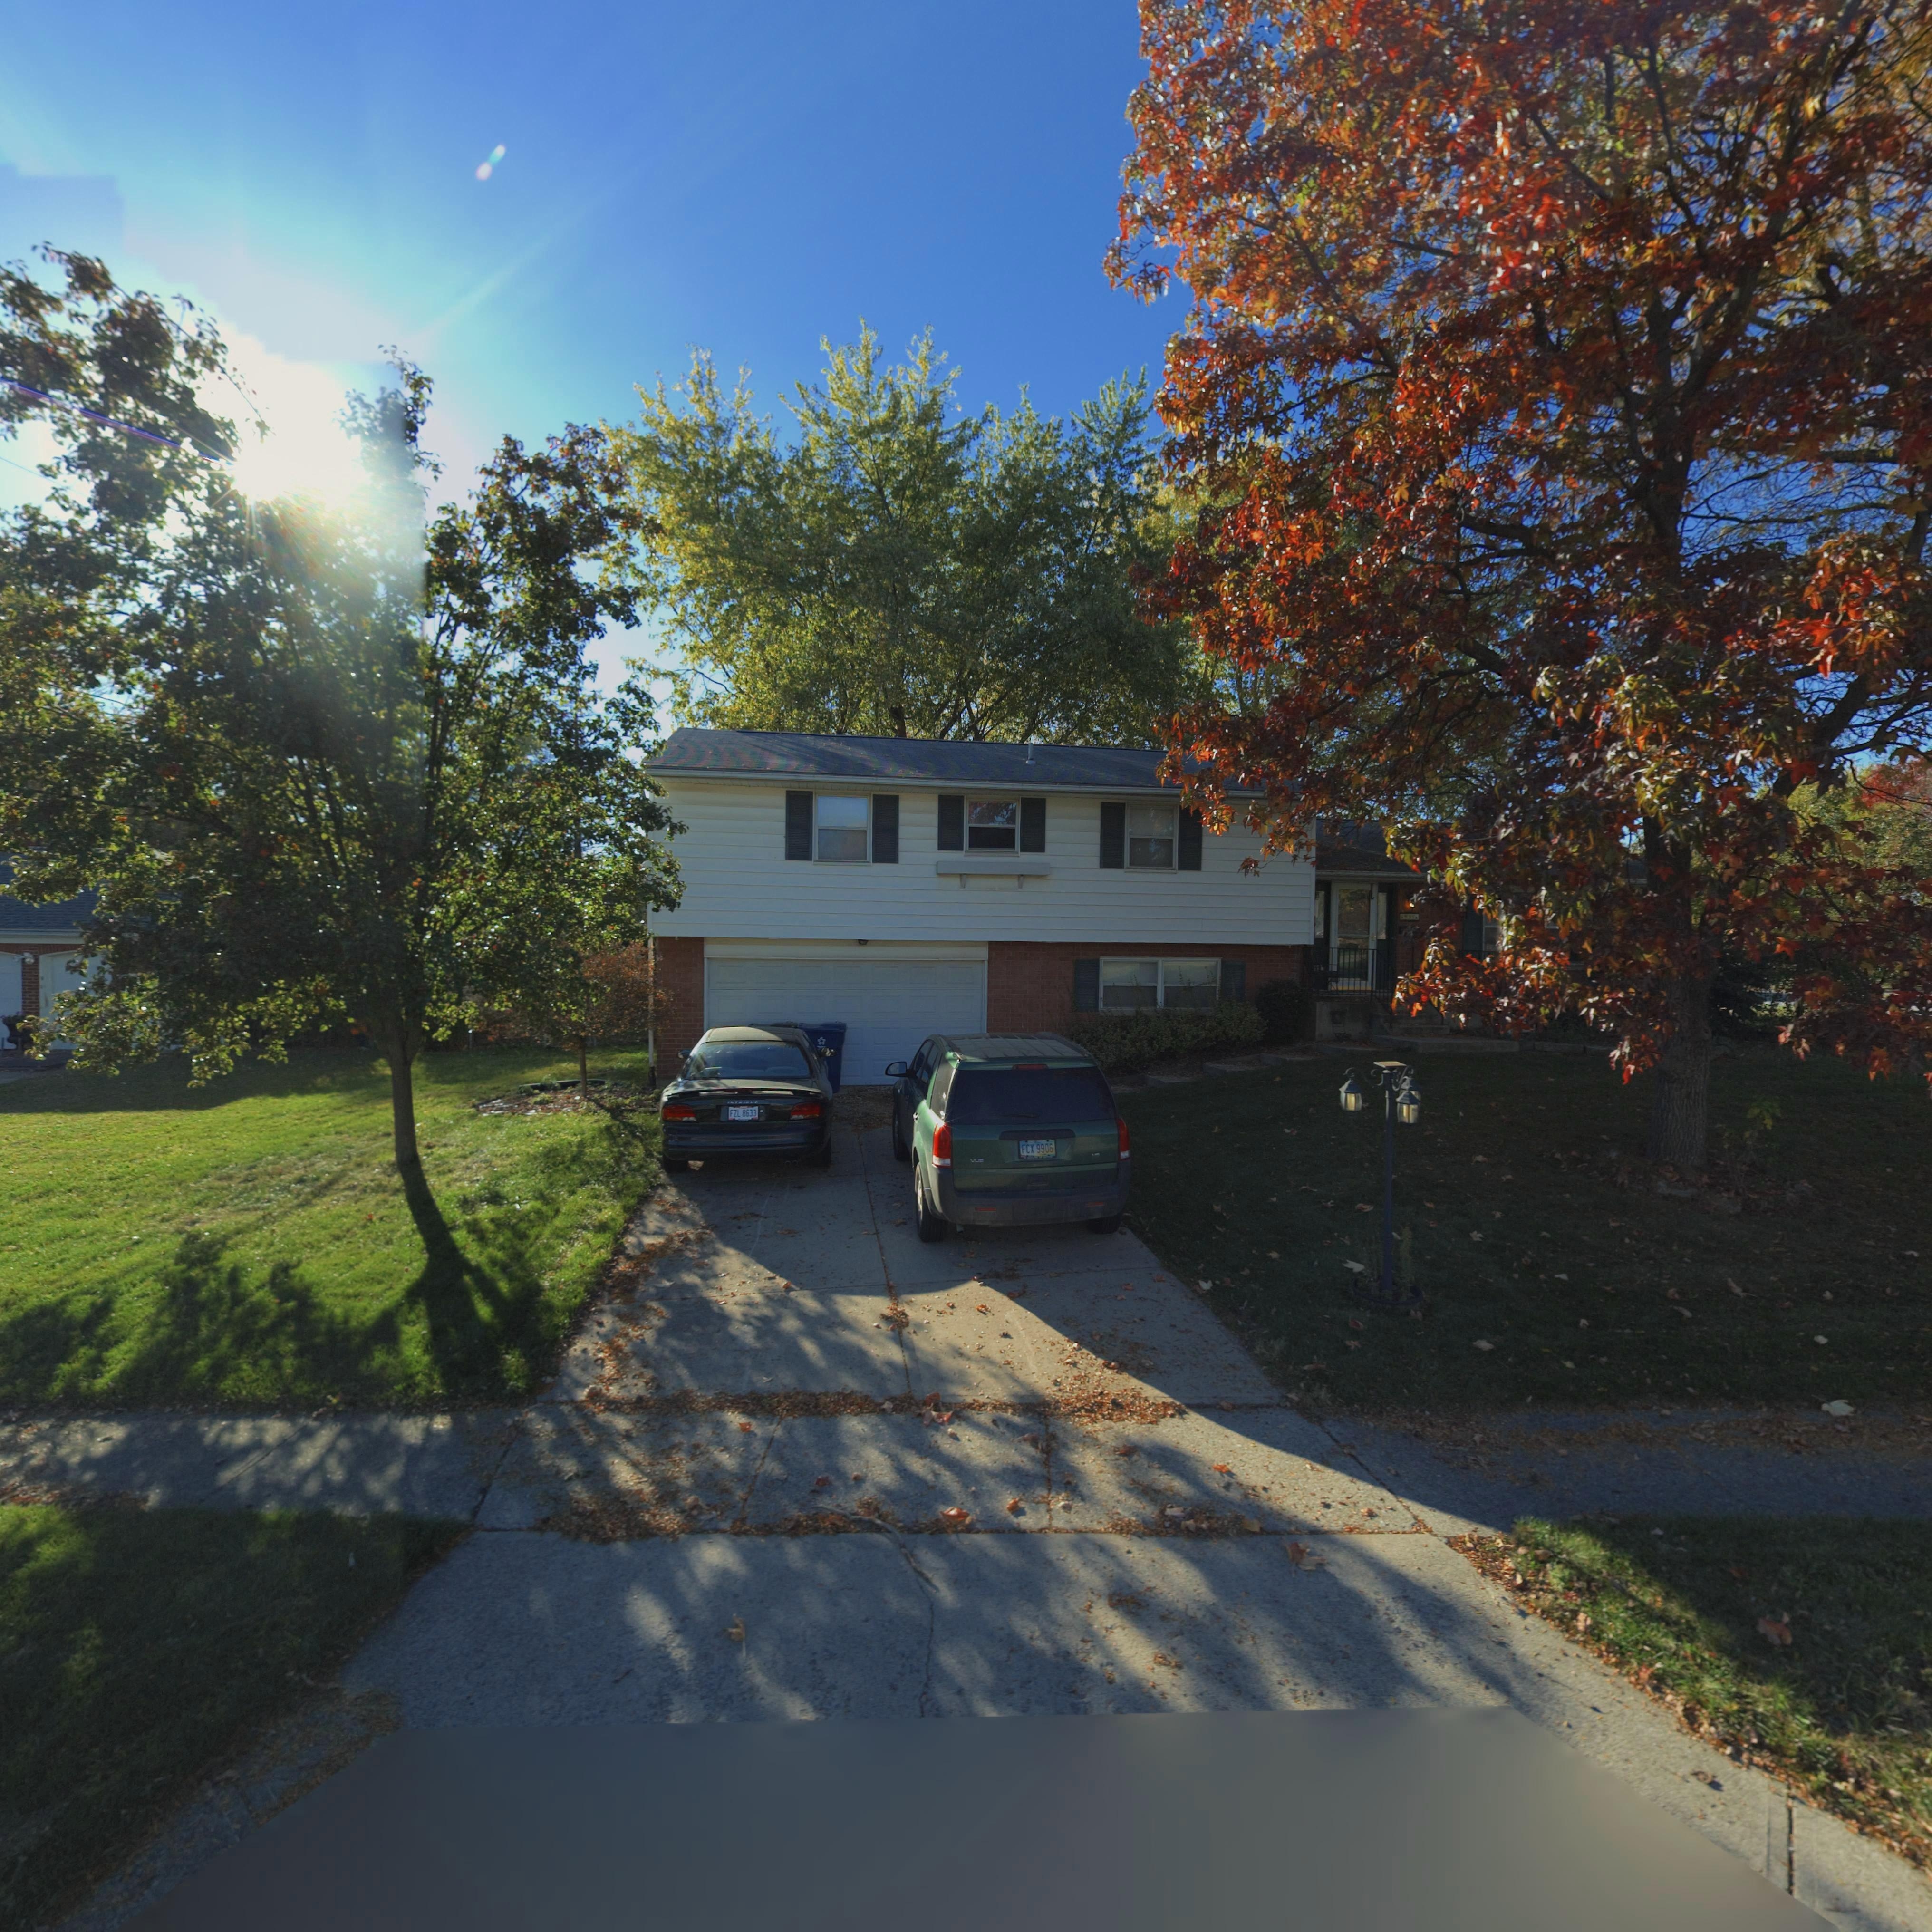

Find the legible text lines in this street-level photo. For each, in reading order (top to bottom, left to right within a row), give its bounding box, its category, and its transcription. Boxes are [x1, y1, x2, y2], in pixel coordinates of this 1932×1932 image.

[1400, 914, 1415, 919] StreetNumber: 6931